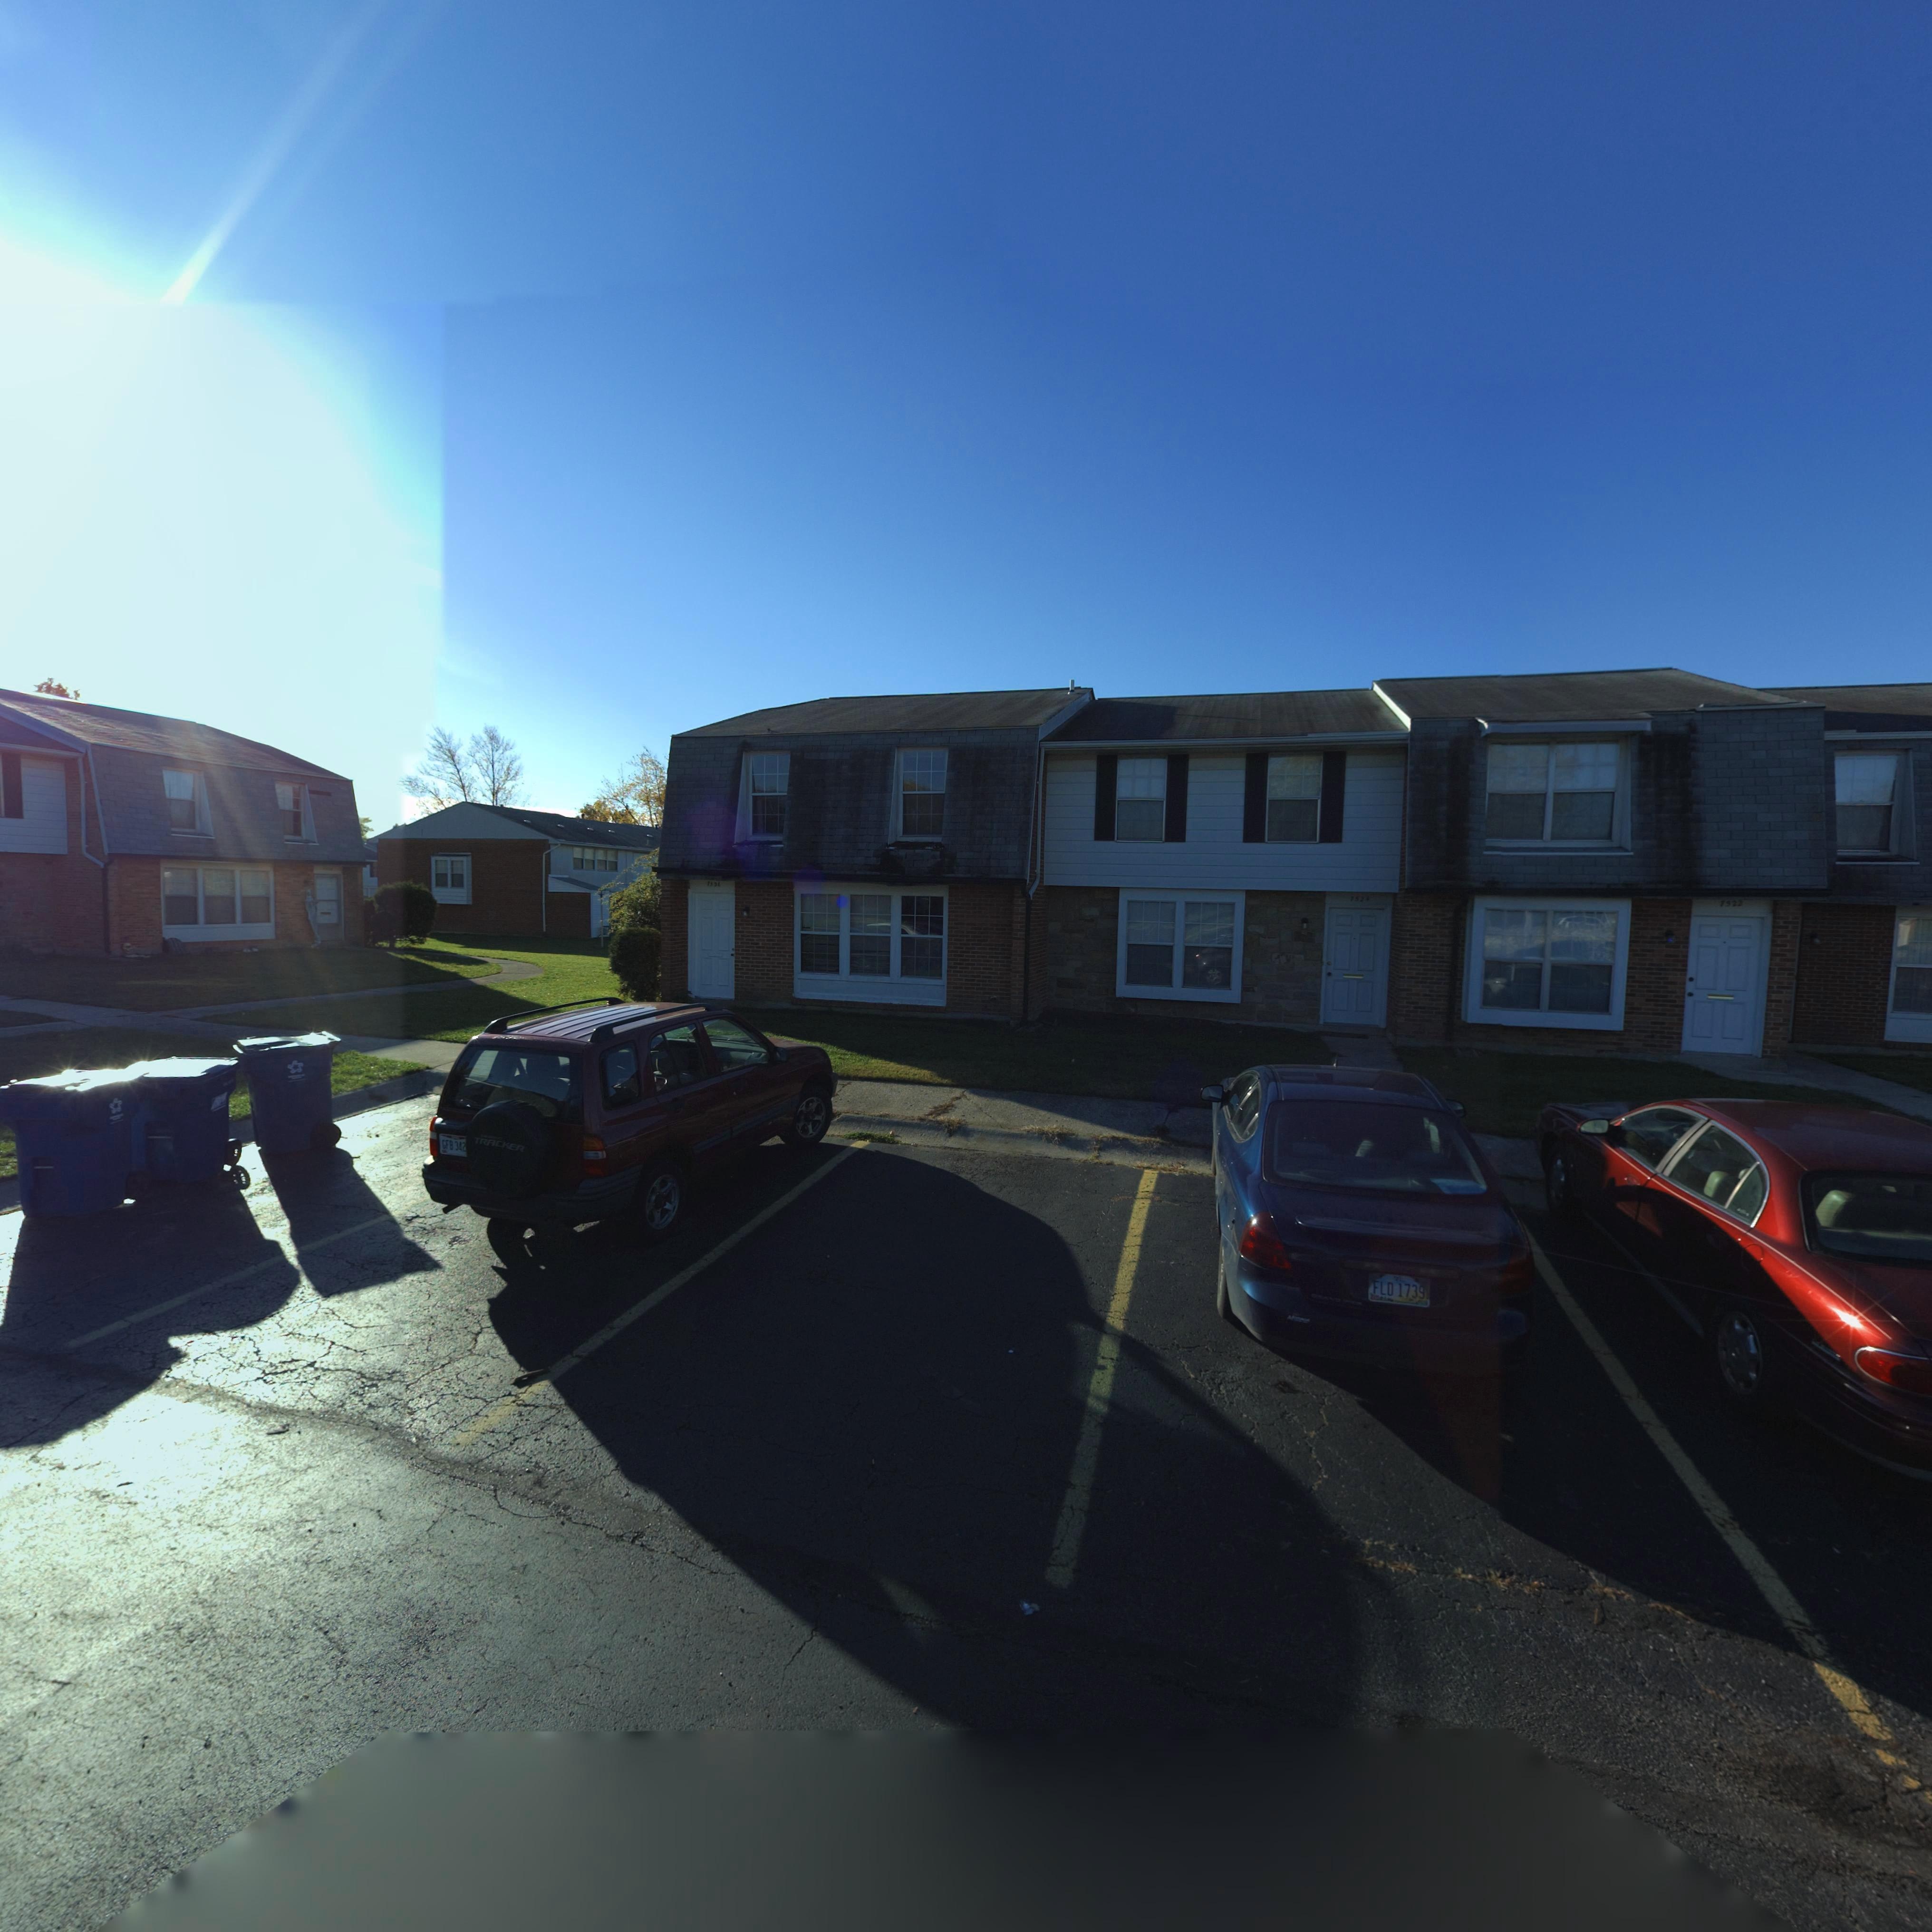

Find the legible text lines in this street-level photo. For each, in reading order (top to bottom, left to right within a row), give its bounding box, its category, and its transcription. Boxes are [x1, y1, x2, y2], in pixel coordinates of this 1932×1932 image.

[705, 880, 722, 888] StreetNumber: *5**
[1348, 894, 1372, 904] StreetNumber: 752*
[1719, 898, 1745, 909] StreetNumber: 7522